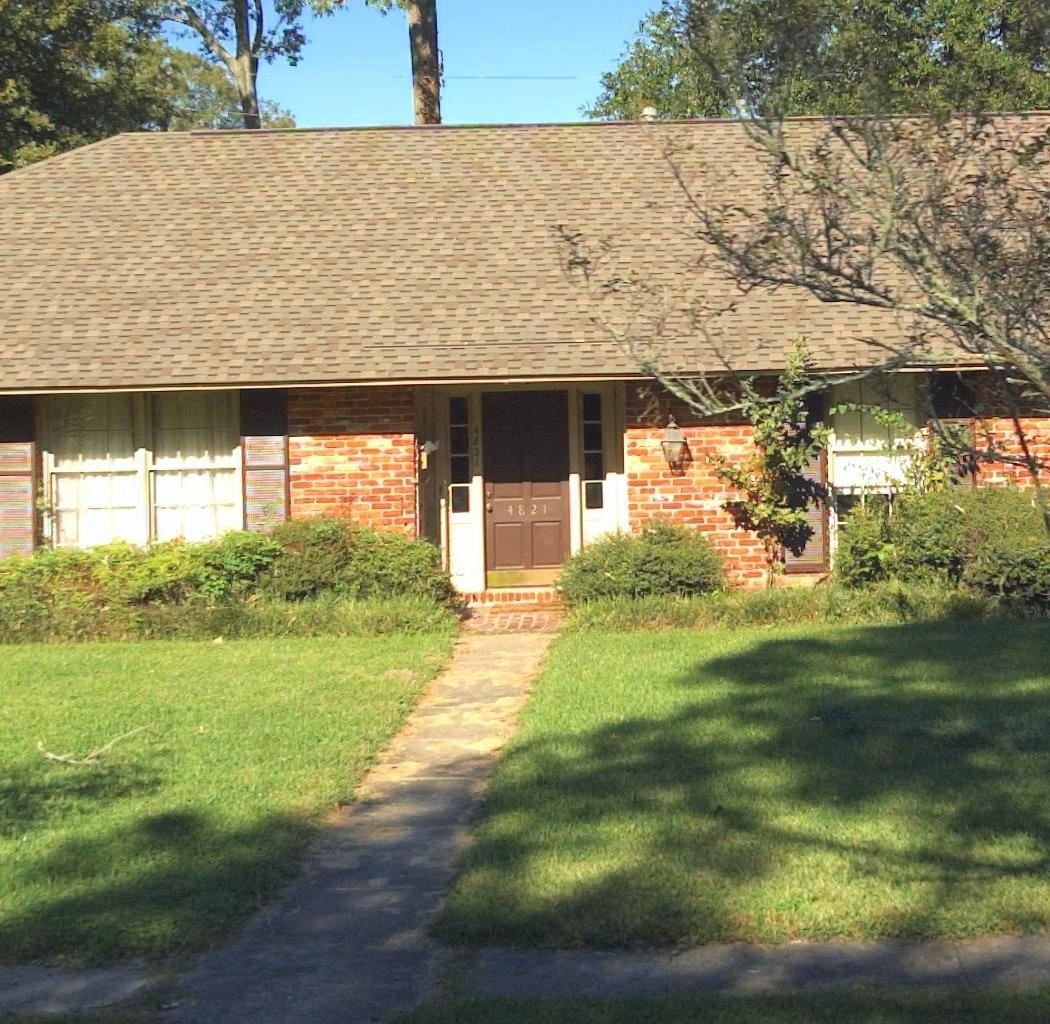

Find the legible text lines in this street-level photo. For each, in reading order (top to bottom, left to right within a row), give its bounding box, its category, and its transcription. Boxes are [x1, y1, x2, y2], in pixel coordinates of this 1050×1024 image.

[470, 423, 482, 470] StreetNumber: 4*21
[505, 501, 549, 519] StreetNumber: 4821